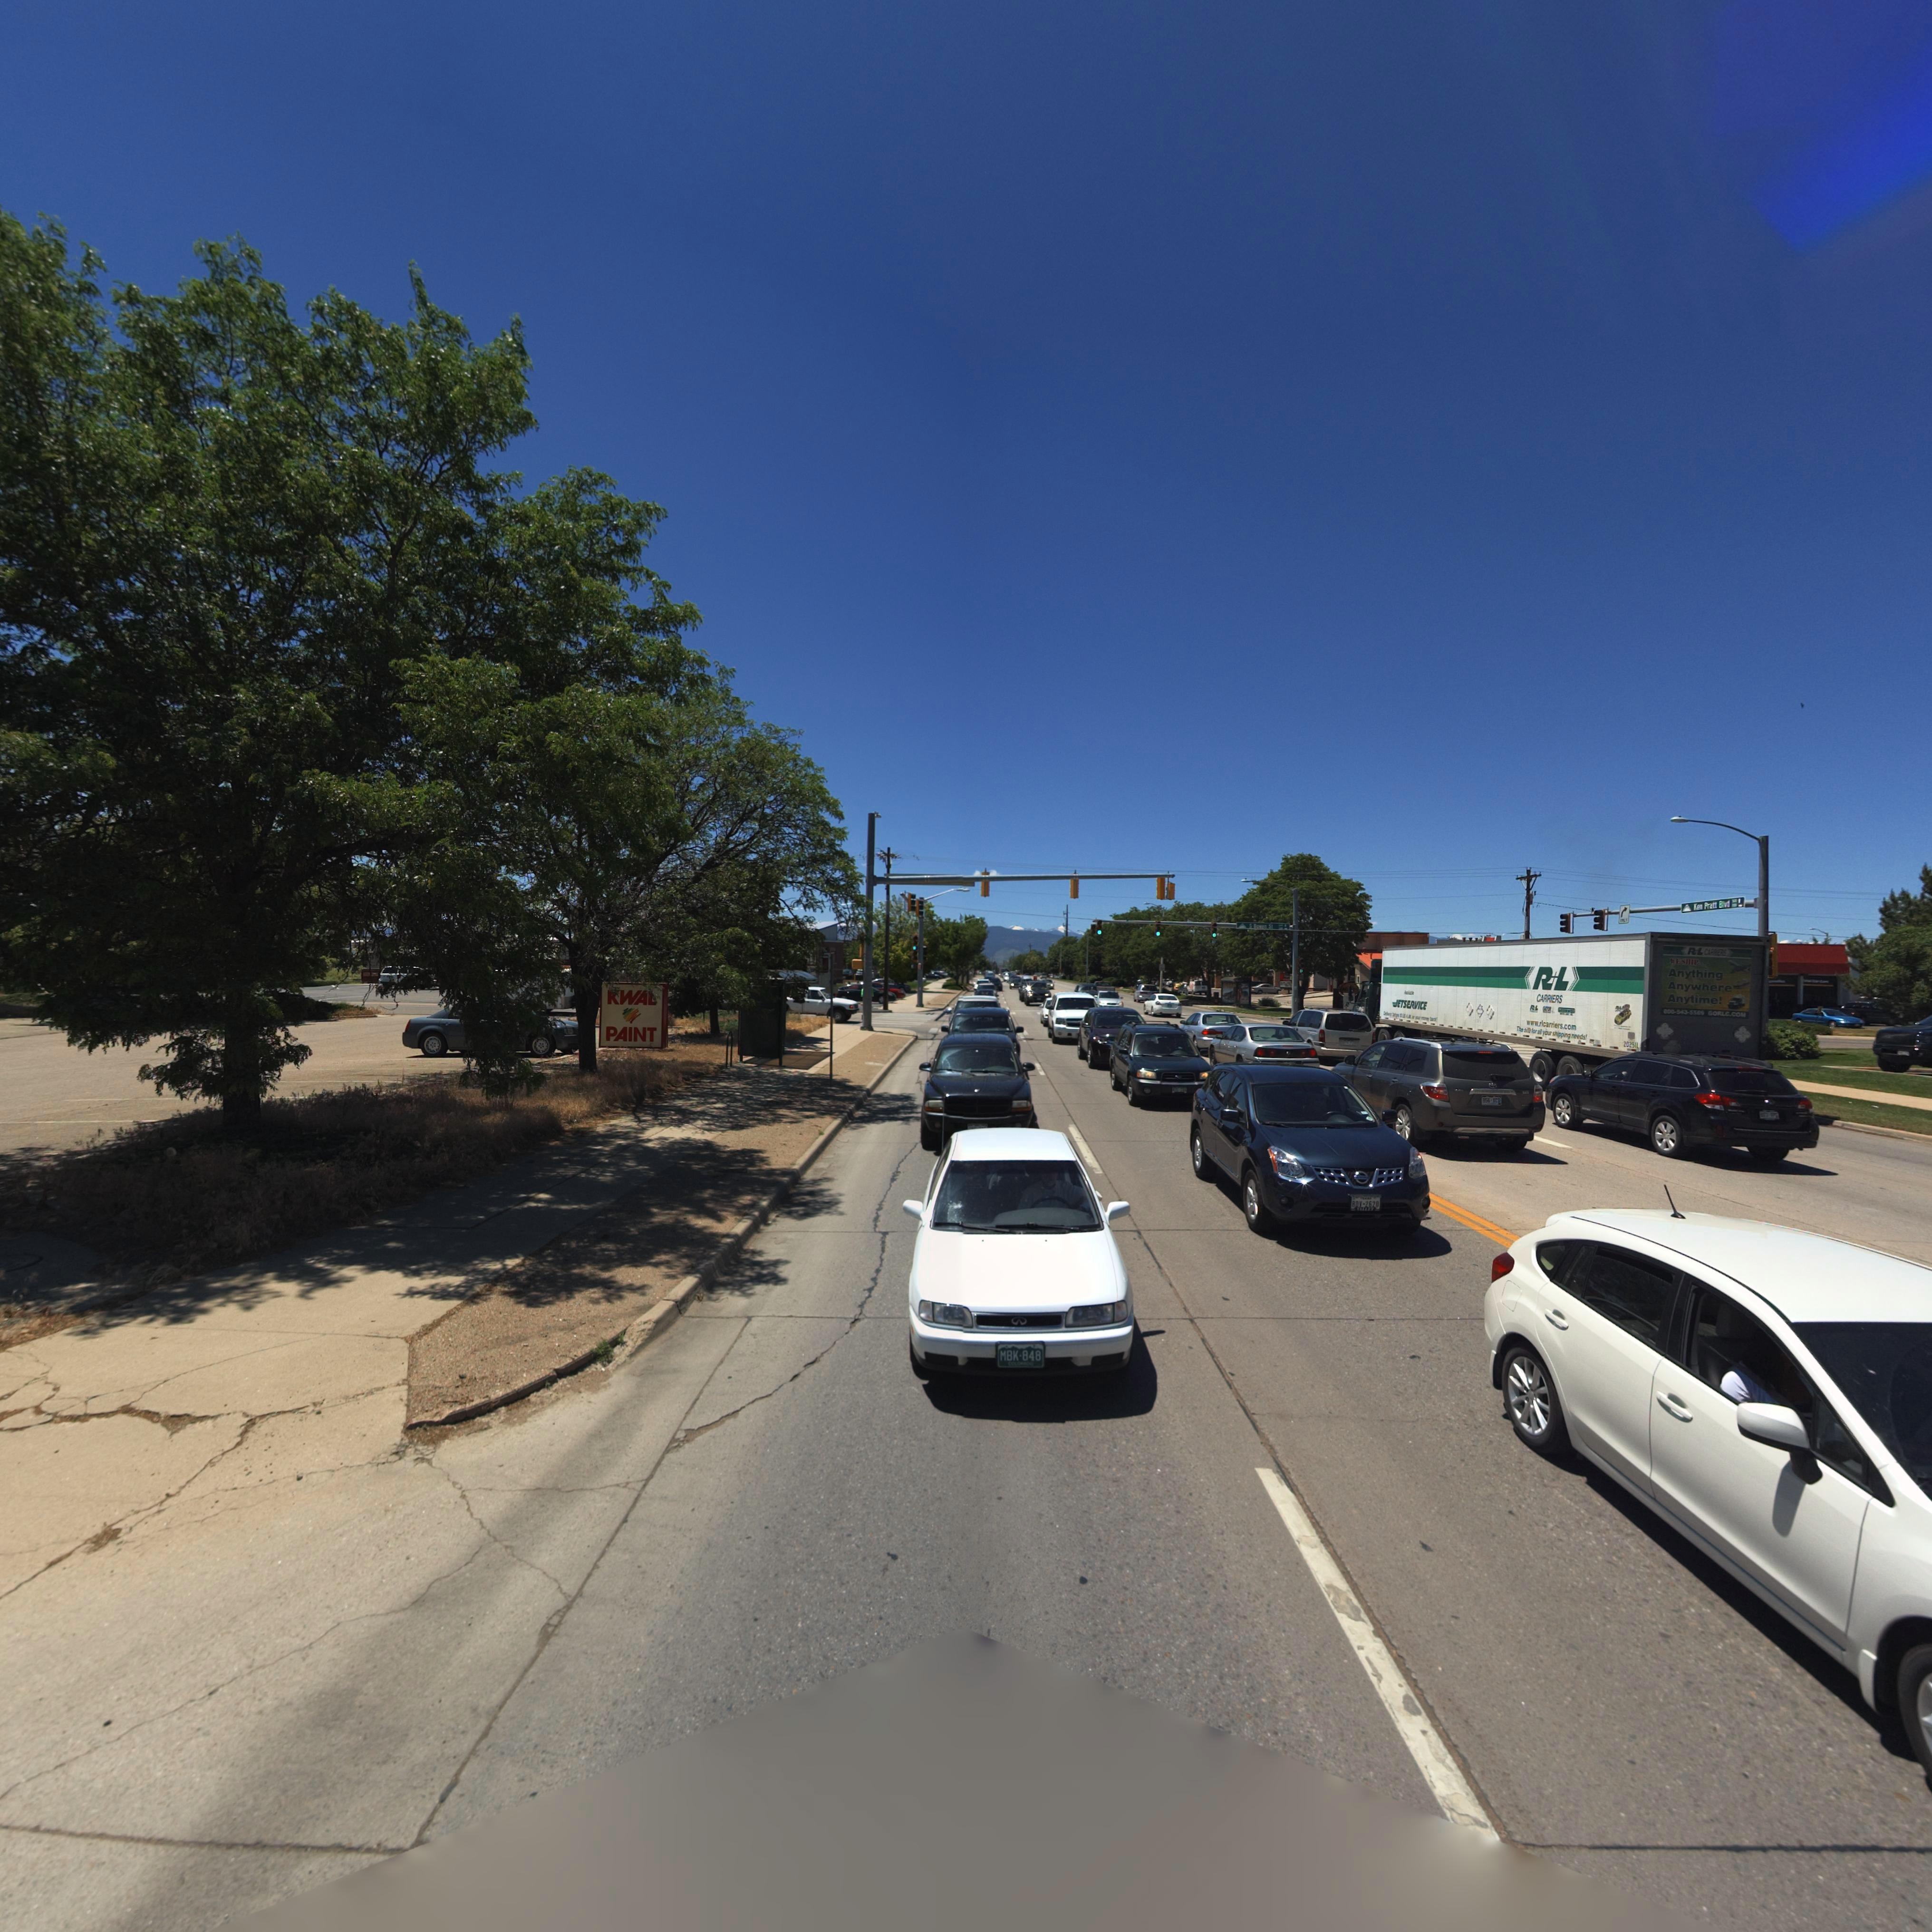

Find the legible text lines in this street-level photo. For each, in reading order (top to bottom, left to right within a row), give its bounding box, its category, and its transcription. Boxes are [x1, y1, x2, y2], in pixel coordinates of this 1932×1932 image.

[1693, 899, 1730, 910] StreetName: Ken Pratt Blvd
[1248, 923, 1273, 929] StreetName: S Bowen St
[606, 989, 658, 1006] BusinessName: KWAL
[605, 1025, 657, 1043] BusinessName: PAINT